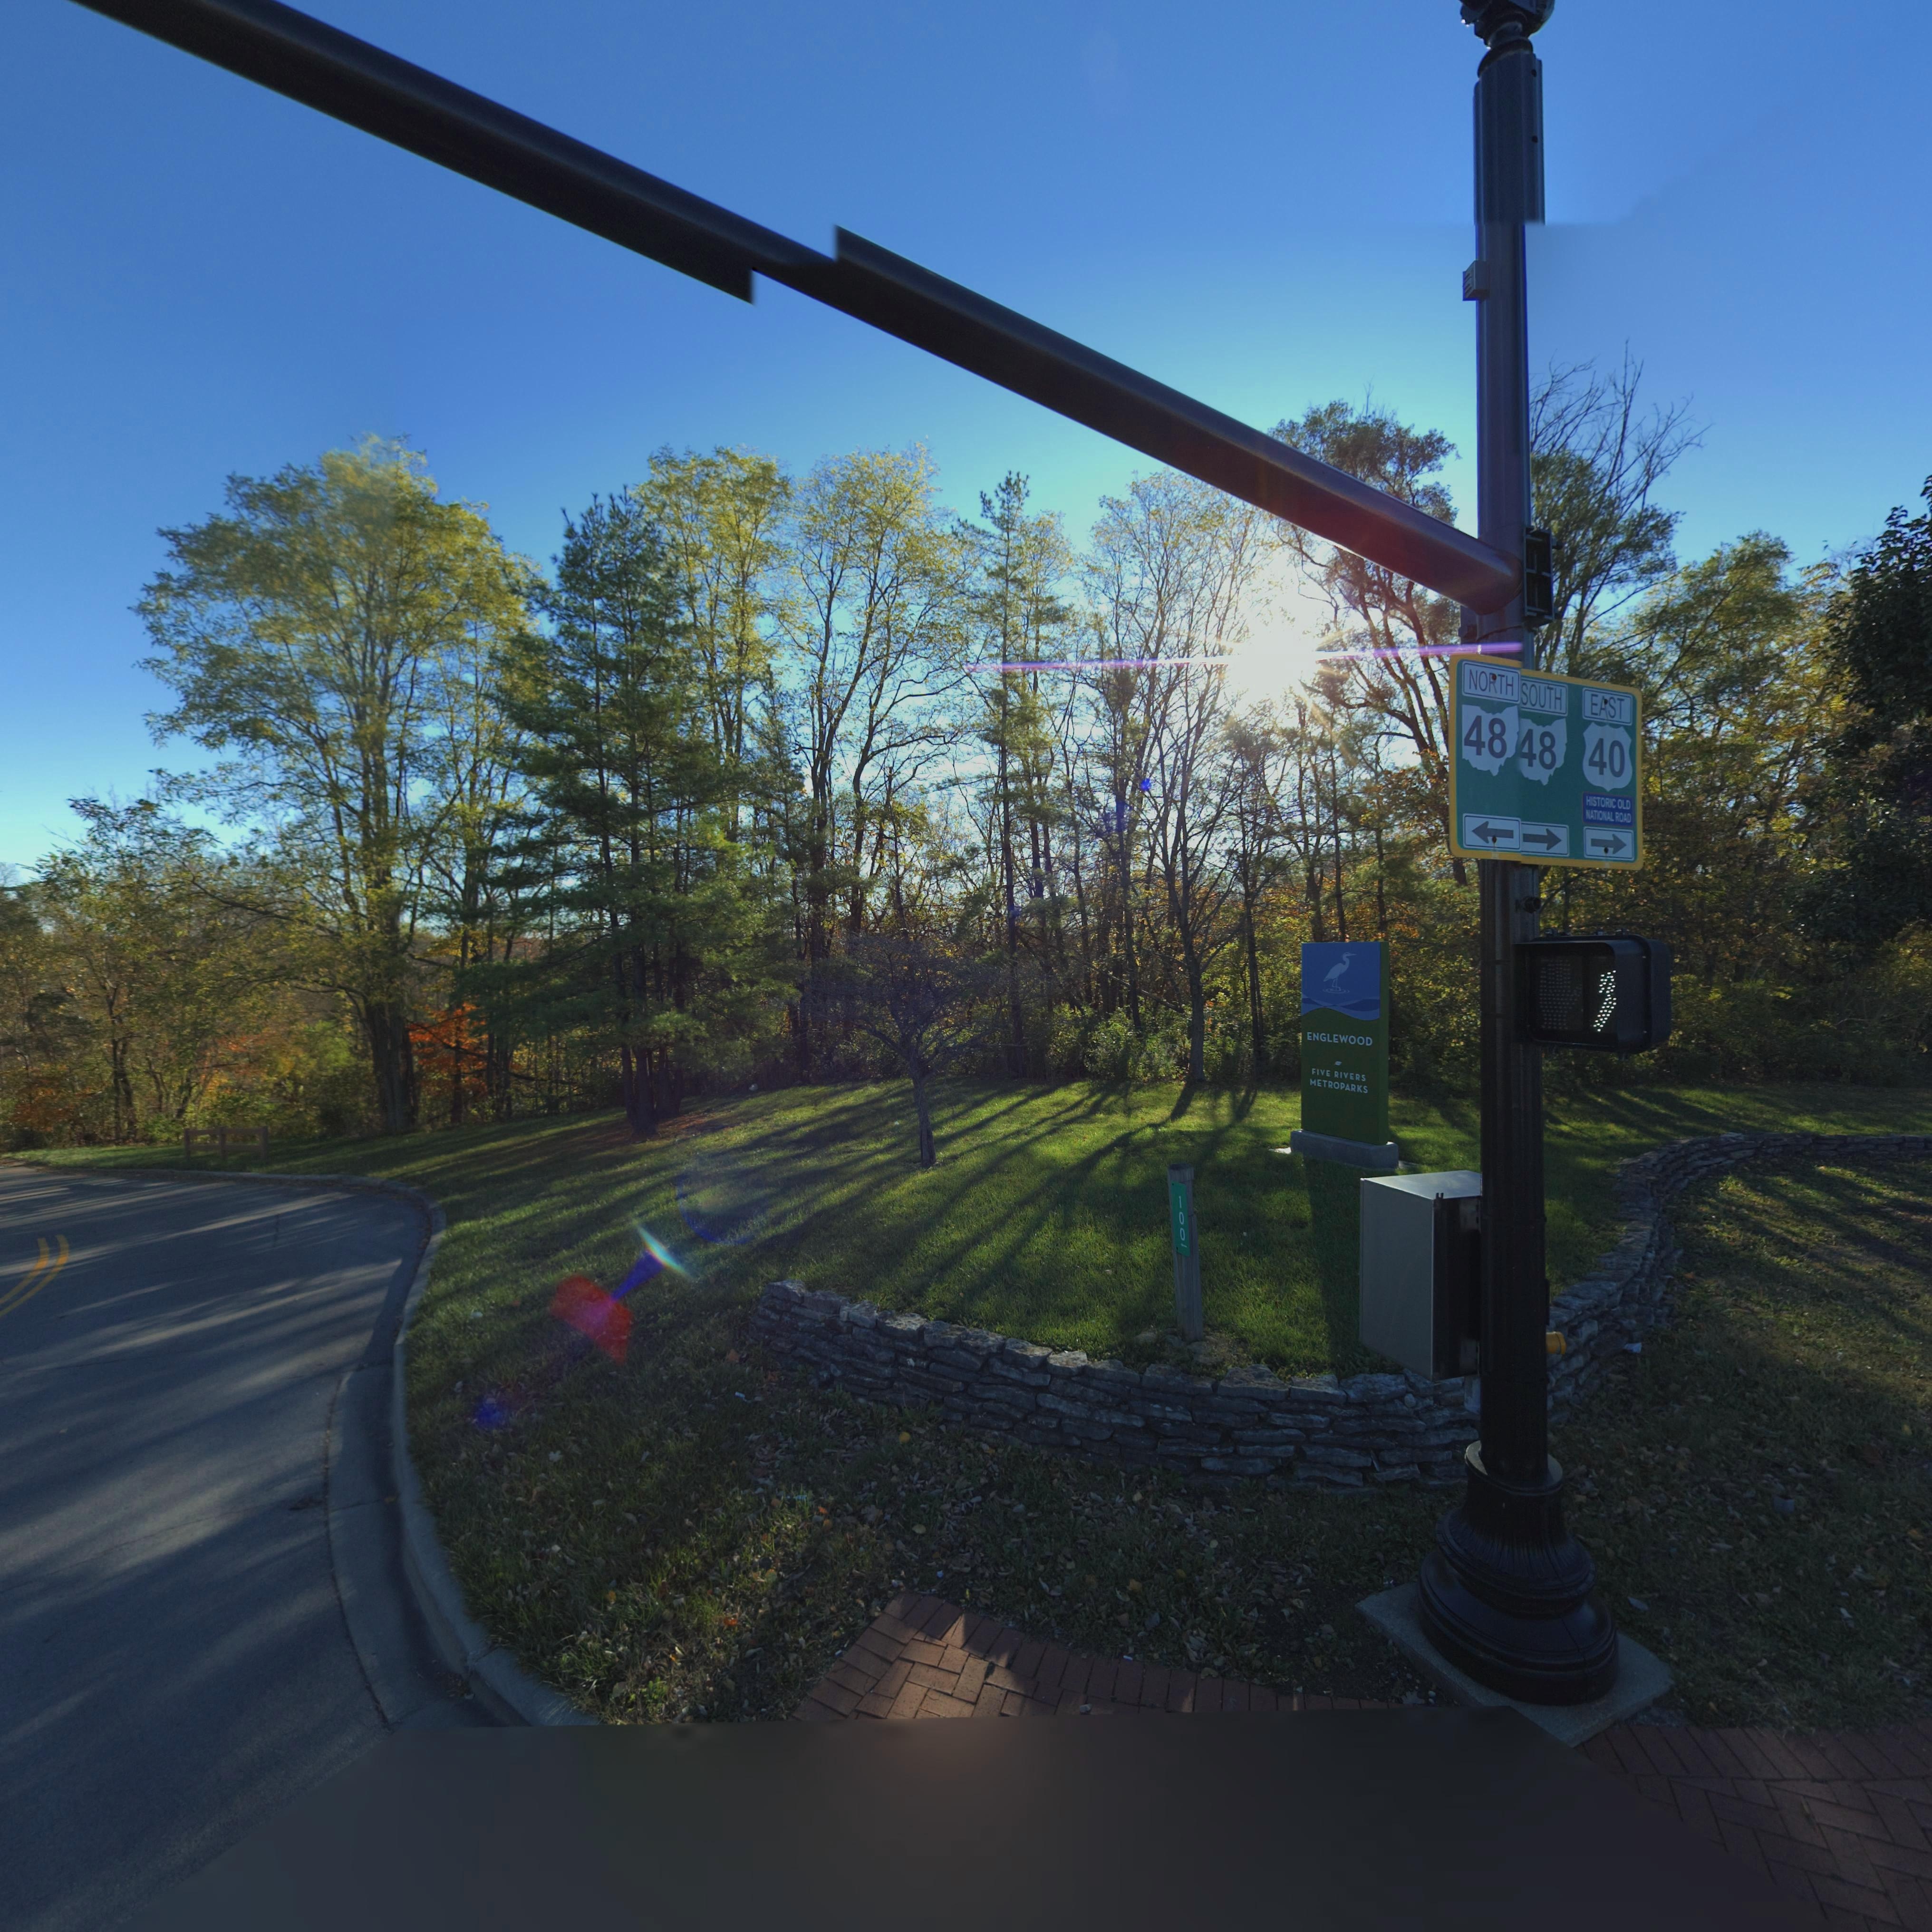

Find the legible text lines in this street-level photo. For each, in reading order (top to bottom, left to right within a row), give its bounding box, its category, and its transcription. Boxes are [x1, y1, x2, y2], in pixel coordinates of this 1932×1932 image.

[1465, 666, 1517, 699] StreetName: NORTH
[1520, 681, 1563, 714] StreetName: SOUTH
[1588, 691, 1625, 721] StreetName: EAST
[1463, 709, 1511, 766] StreetNumber: 48
[1517, 724, 1562, 776] StreetName: 48
[1588, 734, 1627, 781] StreetNumber: 40
[1585, 794, 1632, 812] None: HISTORIC OLD
[1586, 808, 1632, 825] None: NATIONAL ROAD
[1306, 1031, 1372, 1048] None: ENGLEWOOD
[1311, 1067, 1367, 1084] None: FIVE RIVERS
[1309, 1076, 1370, 1096] None: METROPARKS
[1177, 1194, 1187, 1243] StreetNumber: 100